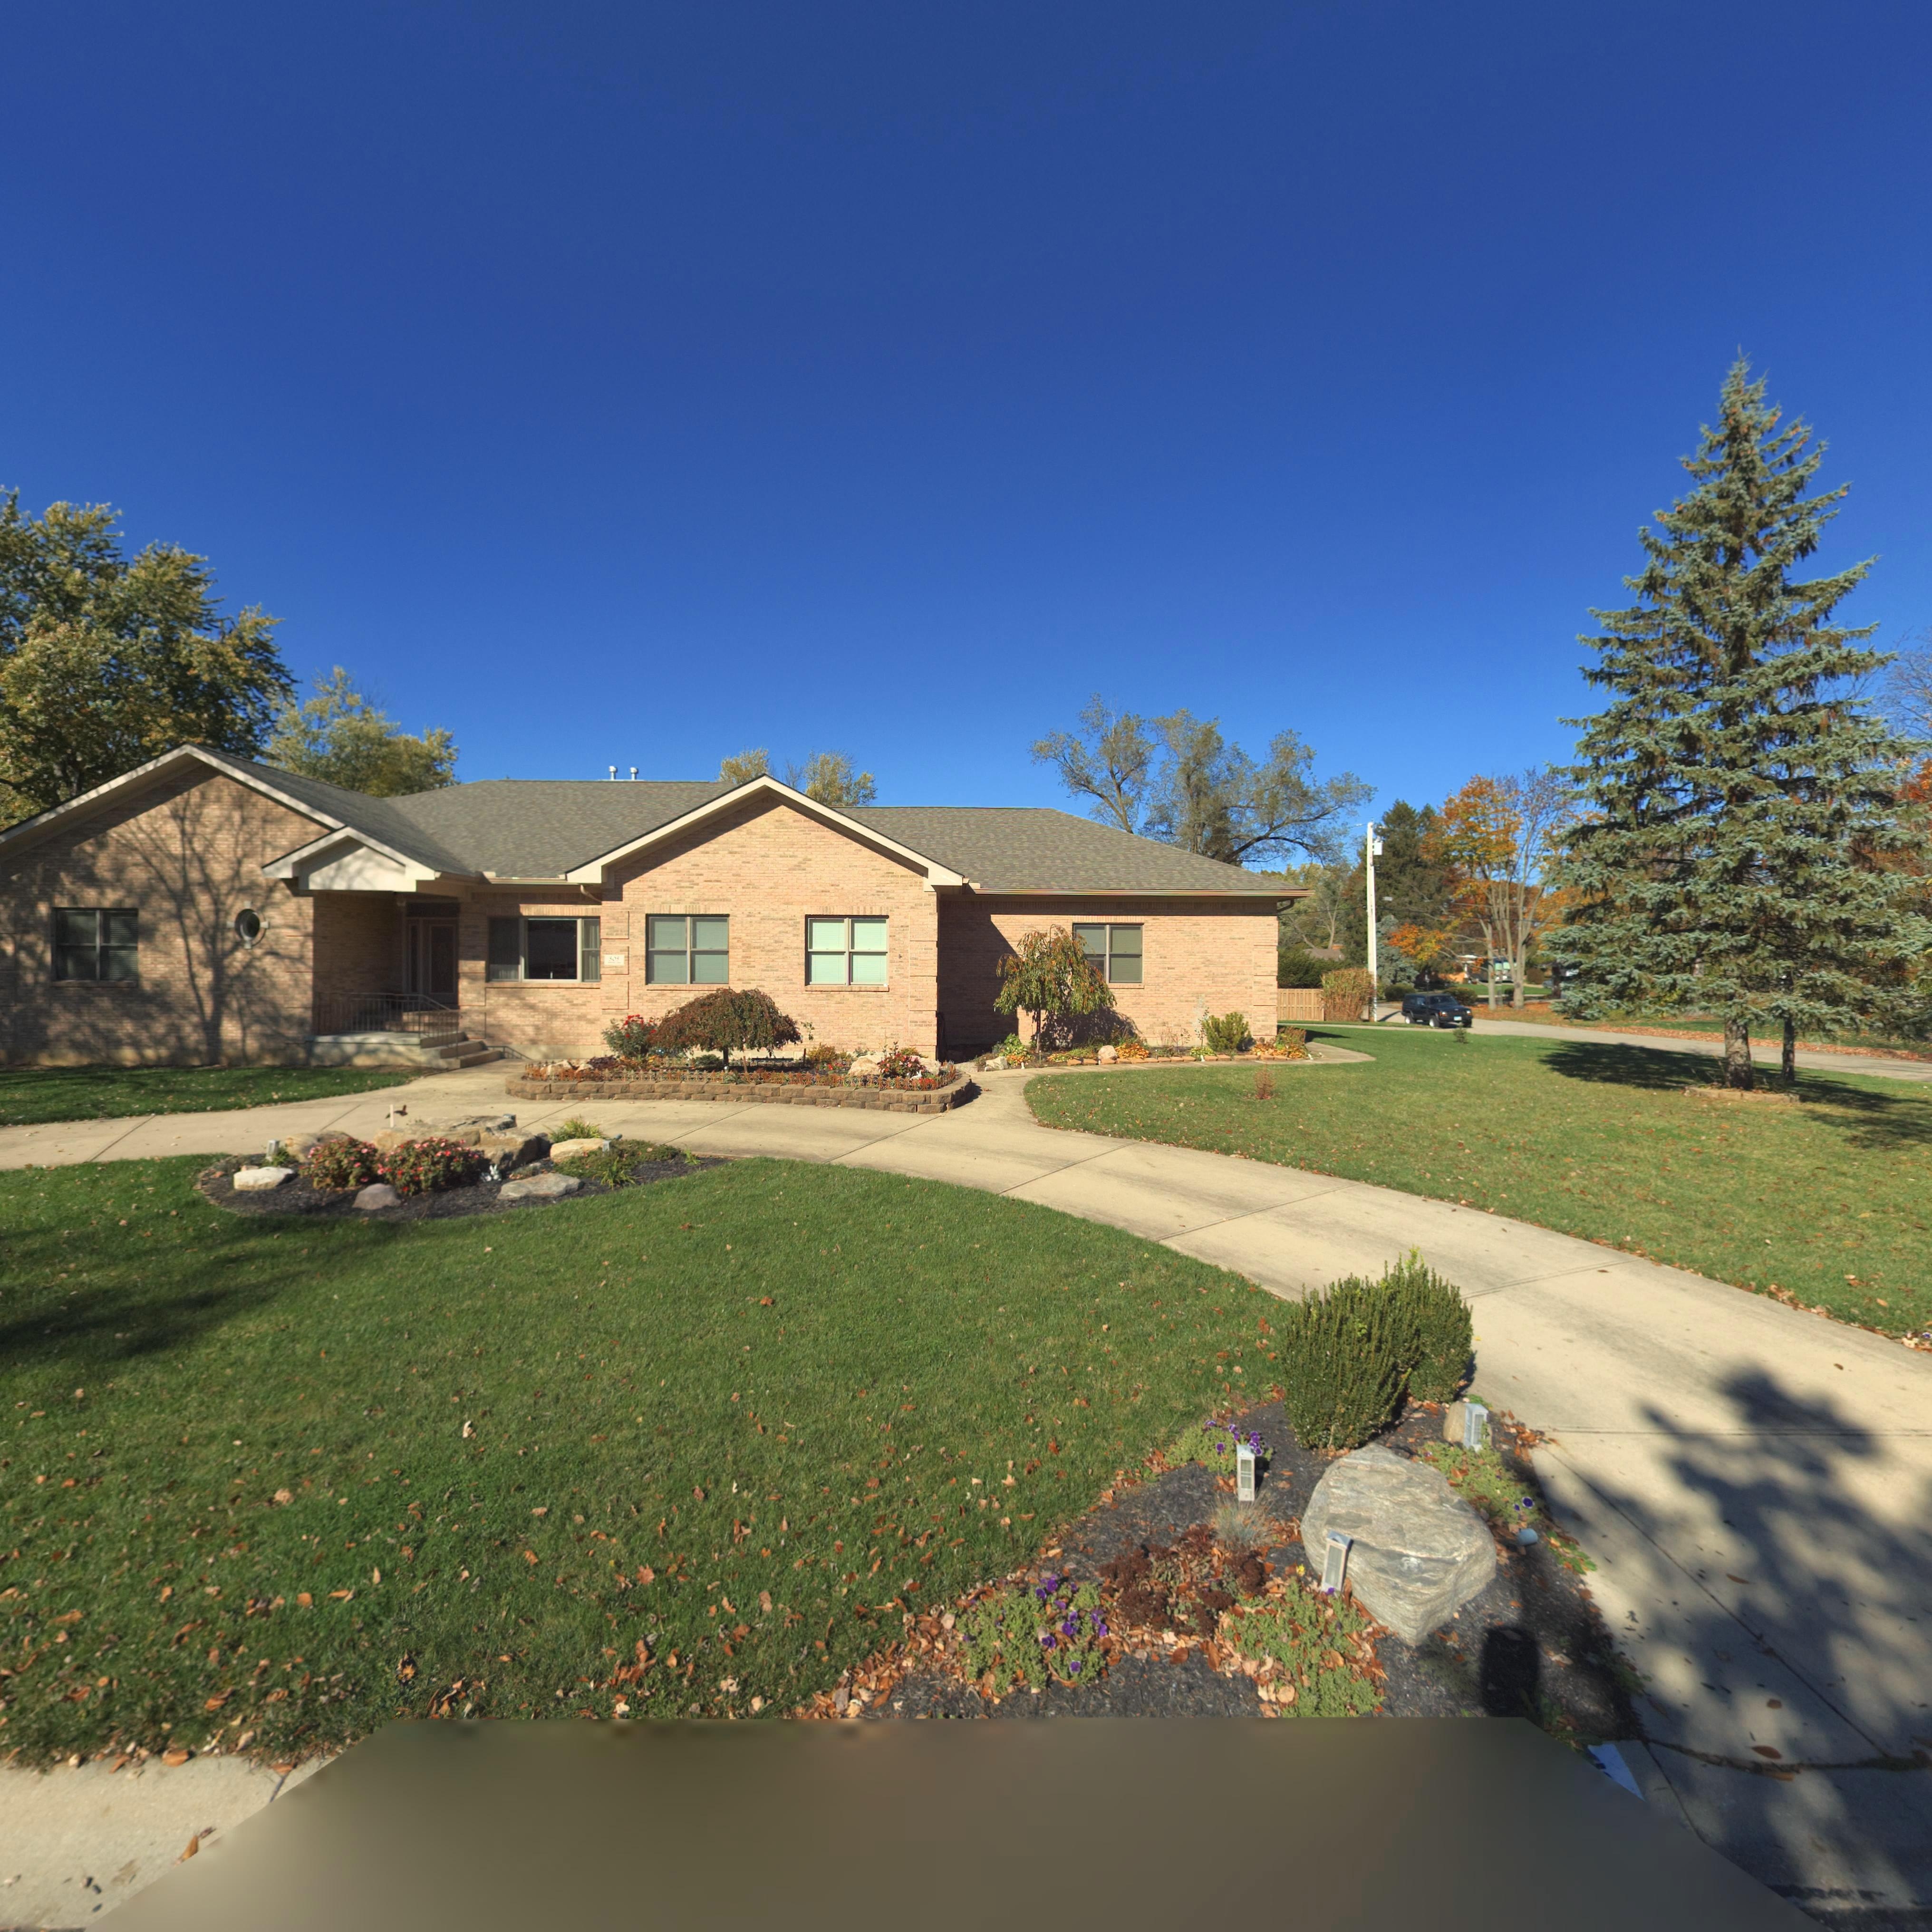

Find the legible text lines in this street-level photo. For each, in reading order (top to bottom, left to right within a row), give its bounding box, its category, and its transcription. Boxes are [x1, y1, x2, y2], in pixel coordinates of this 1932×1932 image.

[608, 956, 620, 962] StreetNumber: 503